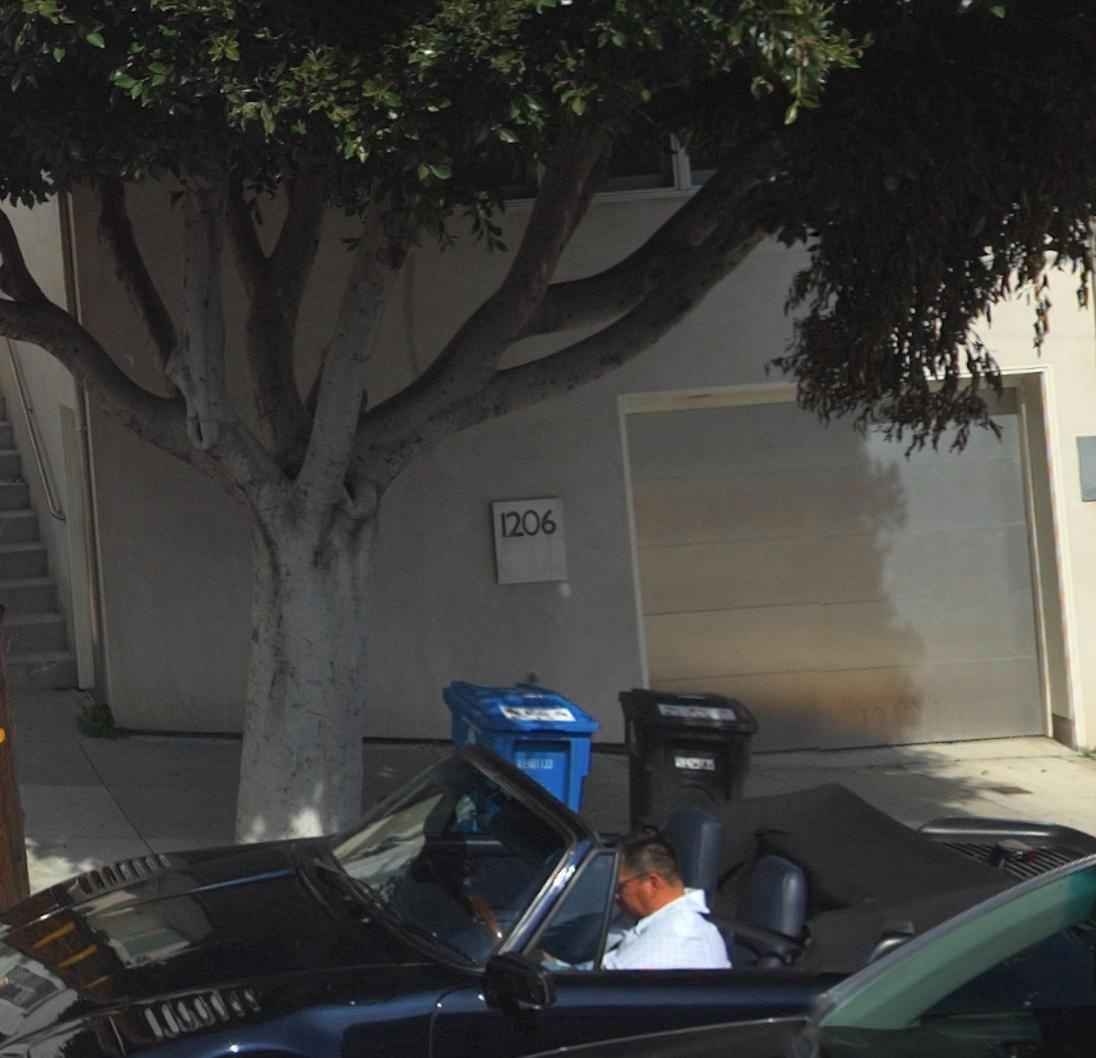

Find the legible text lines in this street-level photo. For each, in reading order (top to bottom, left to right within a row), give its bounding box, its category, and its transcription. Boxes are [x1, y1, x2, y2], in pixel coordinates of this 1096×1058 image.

[499, 507, 560, 540] StreetNumber: 1206